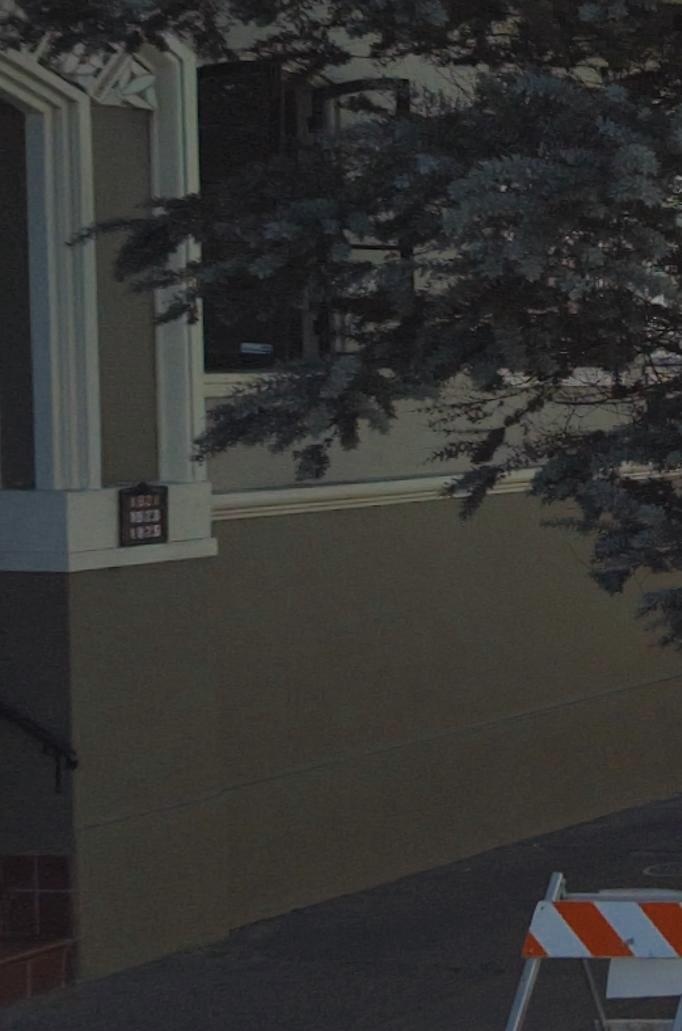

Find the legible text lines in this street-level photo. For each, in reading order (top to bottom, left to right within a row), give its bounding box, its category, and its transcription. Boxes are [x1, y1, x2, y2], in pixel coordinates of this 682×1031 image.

[128, 493, 161, 509] StreetNumber: 1831
[129, 509, 163, 524] StreetNumber: 1823
[127, 523, 163, 542] StreetNumber: 1825